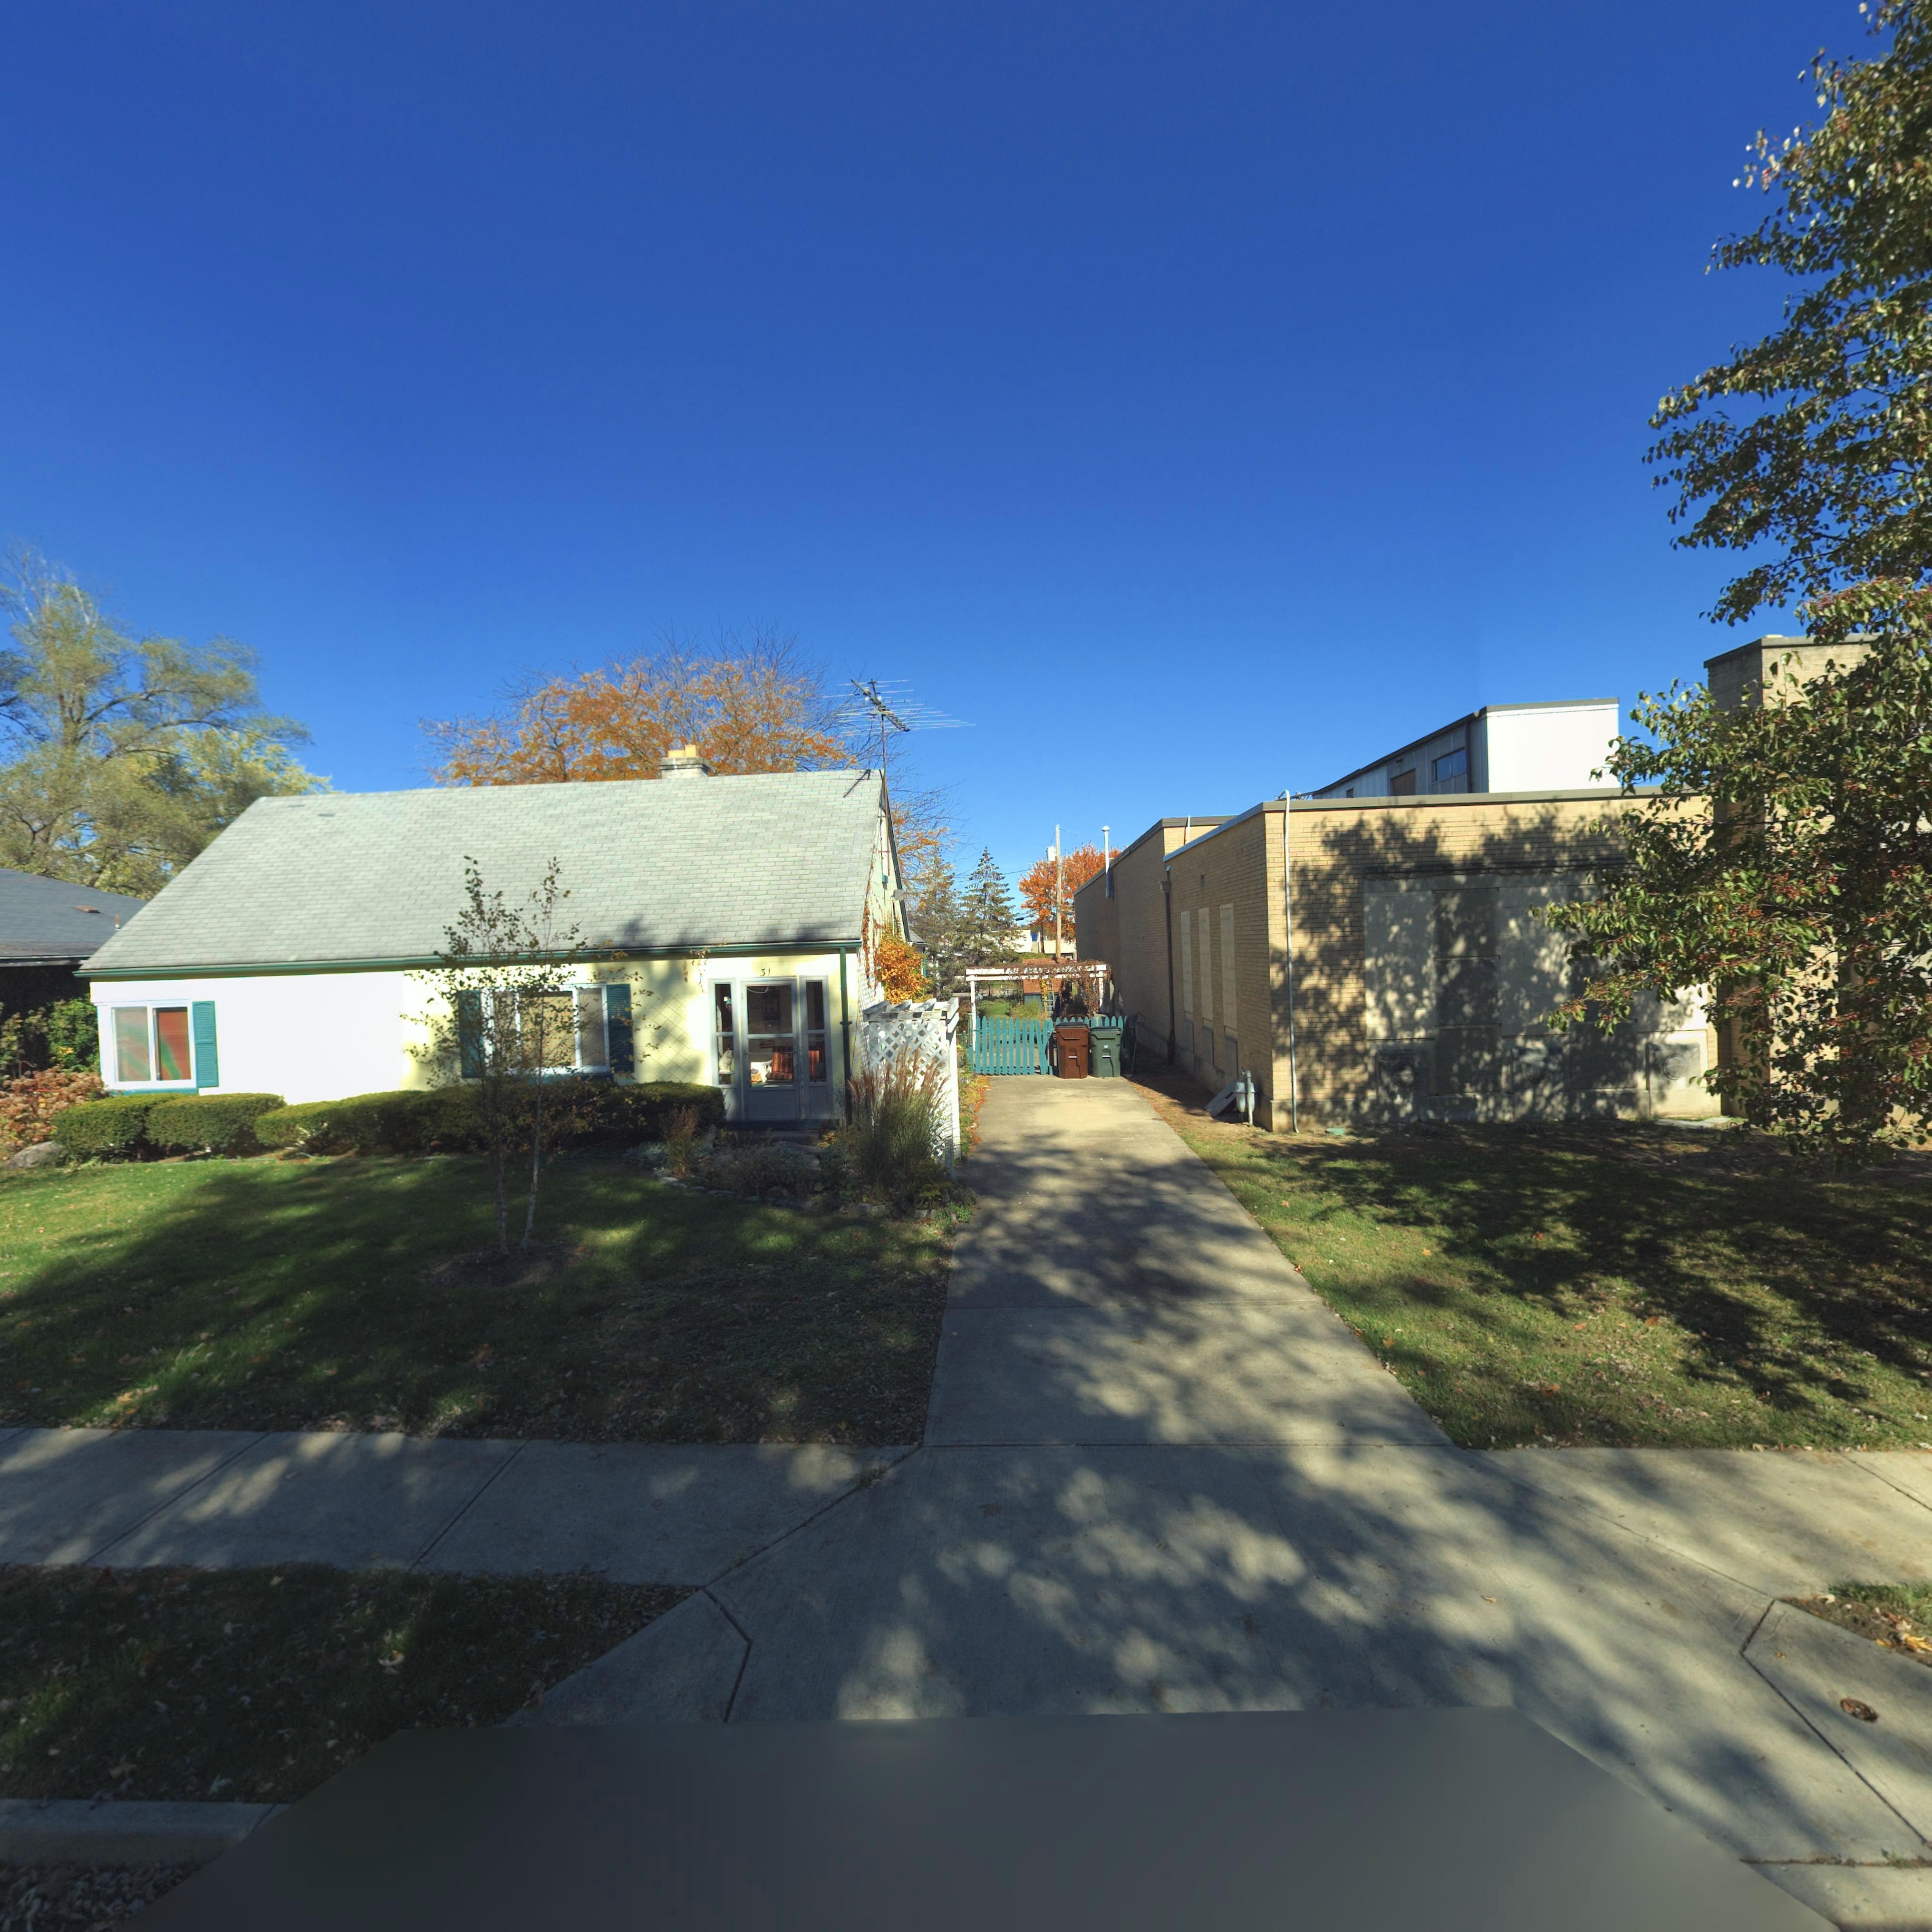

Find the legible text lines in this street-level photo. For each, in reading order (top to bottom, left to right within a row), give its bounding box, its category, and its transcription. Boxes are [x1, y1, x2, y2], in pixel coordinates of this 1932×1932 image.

[759, 967, 771, 977] StreetNumber: 31